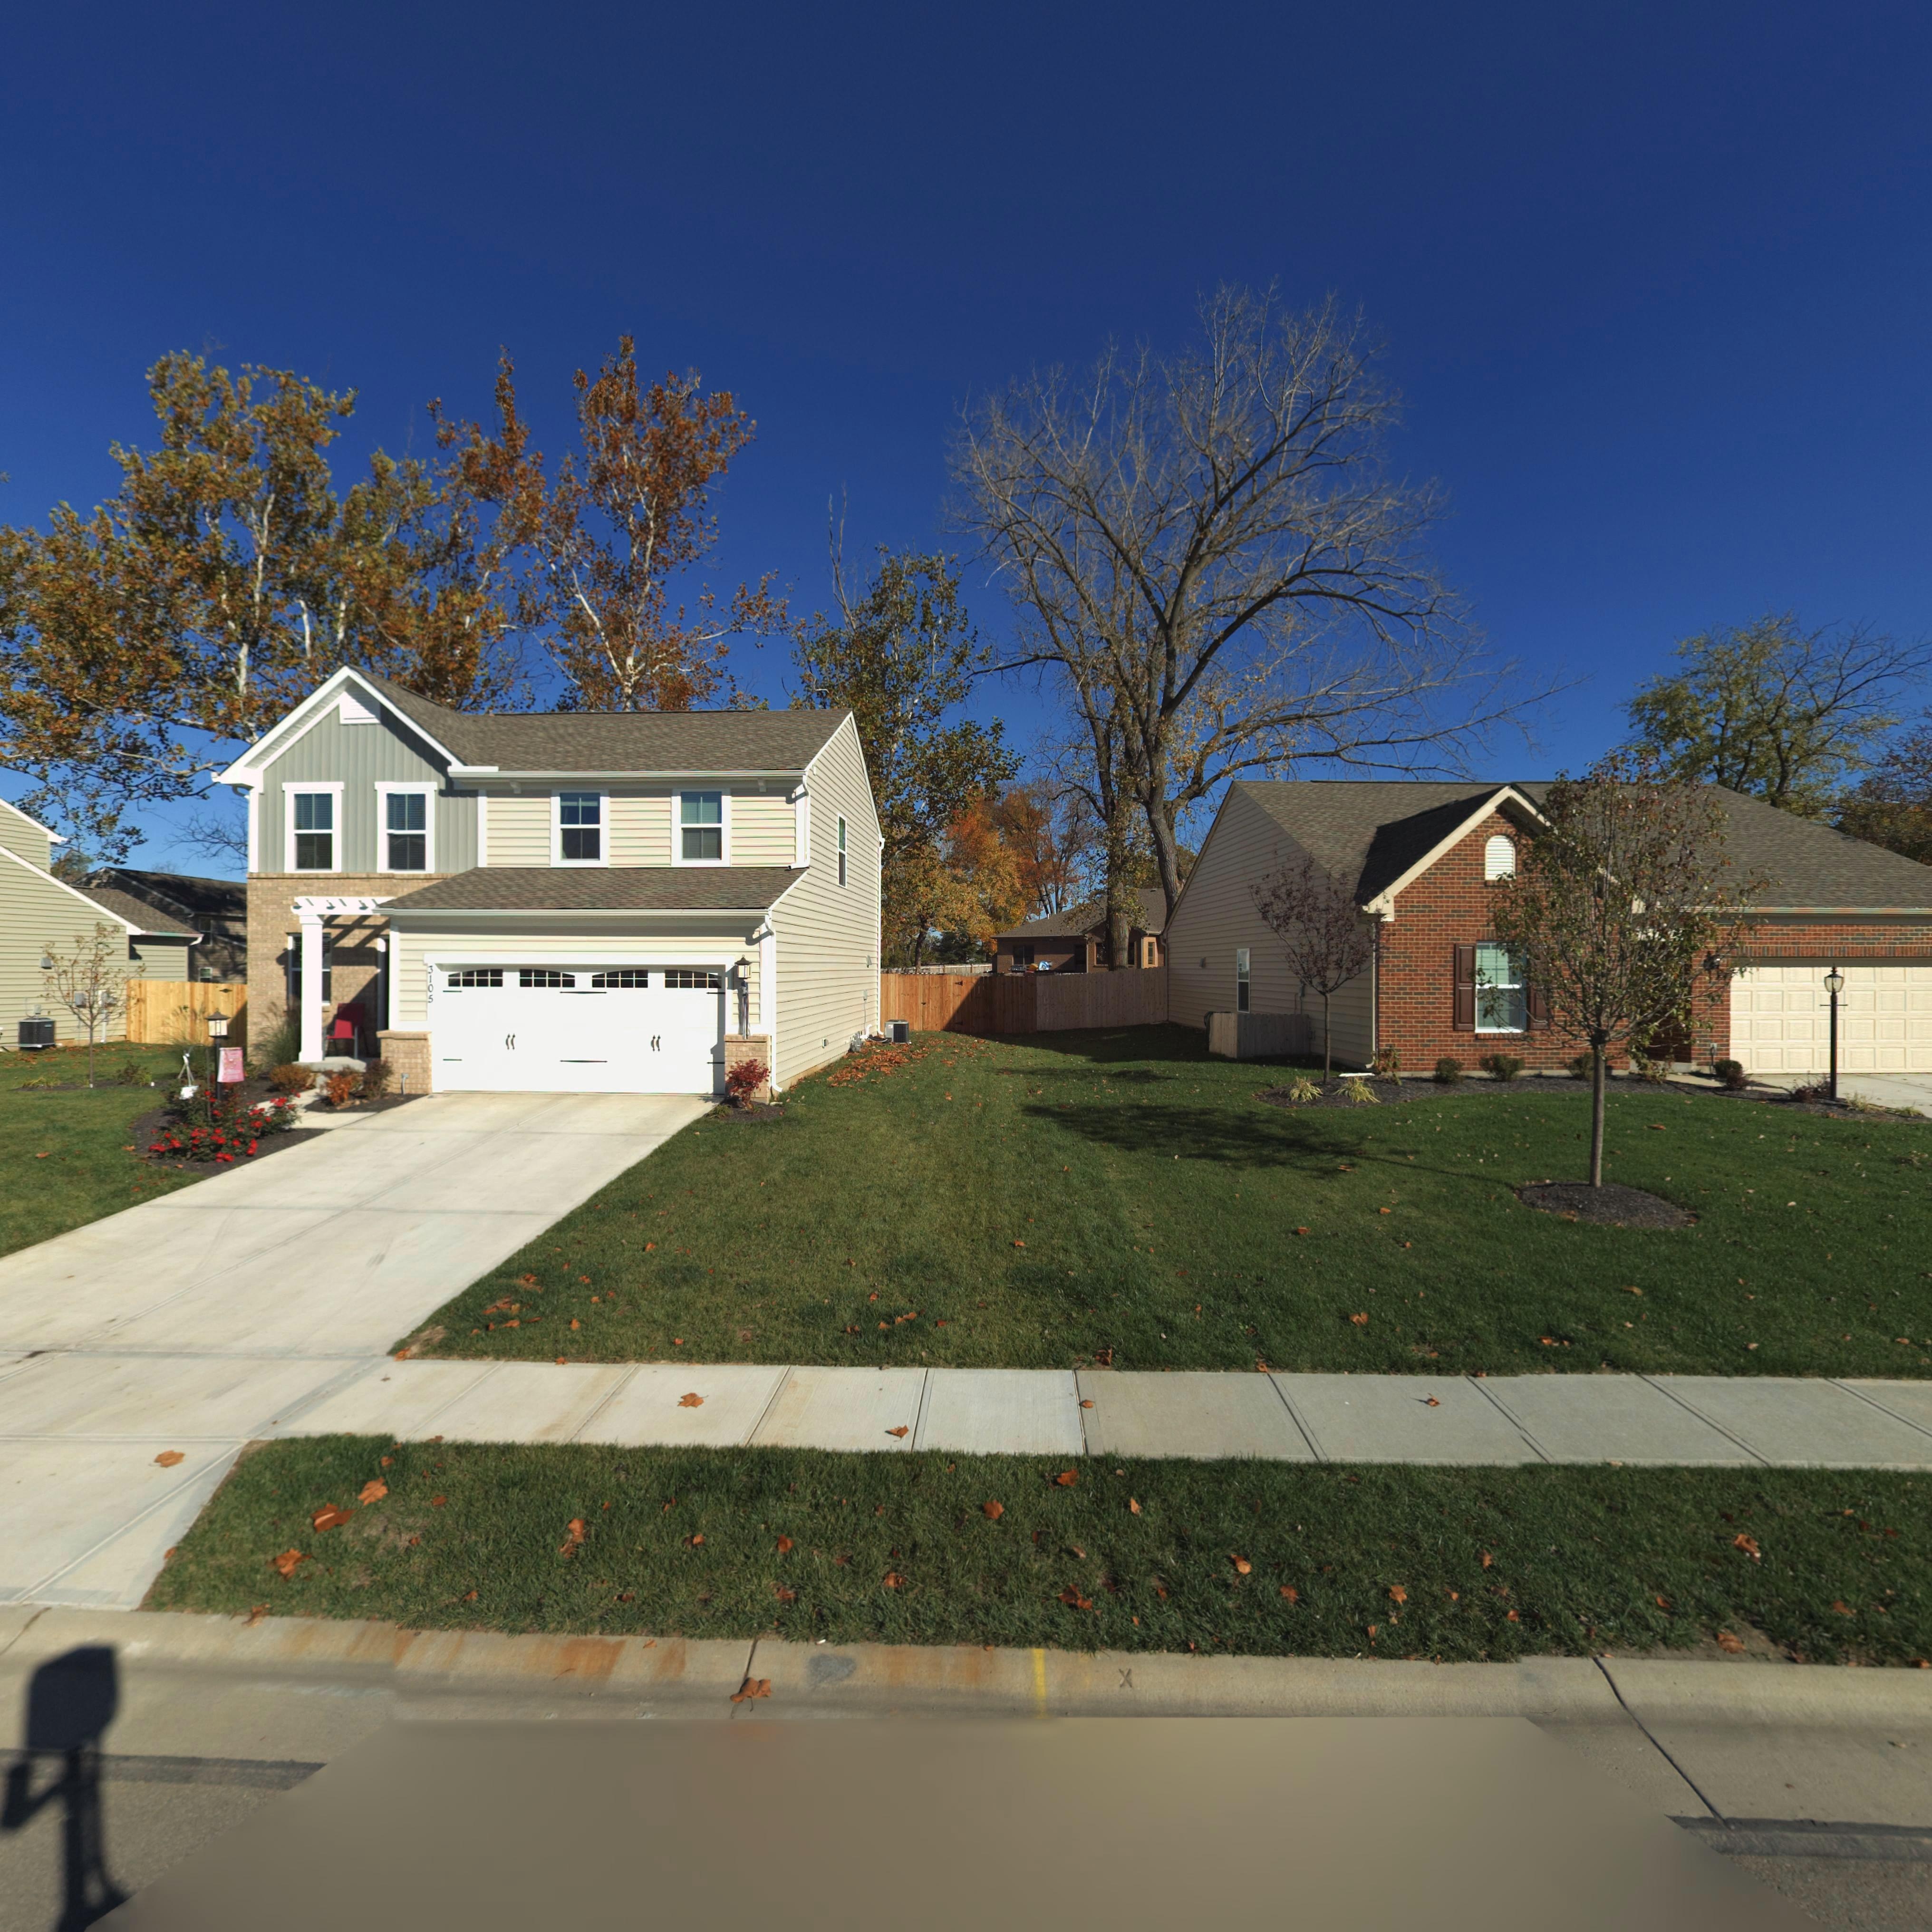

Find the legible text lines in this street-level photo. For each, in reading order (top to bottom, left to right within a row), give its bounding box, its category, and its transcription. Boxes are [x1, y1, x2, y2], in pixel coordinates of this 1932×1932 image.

[427, 965, 434, 1004] StreetNumber: 3105